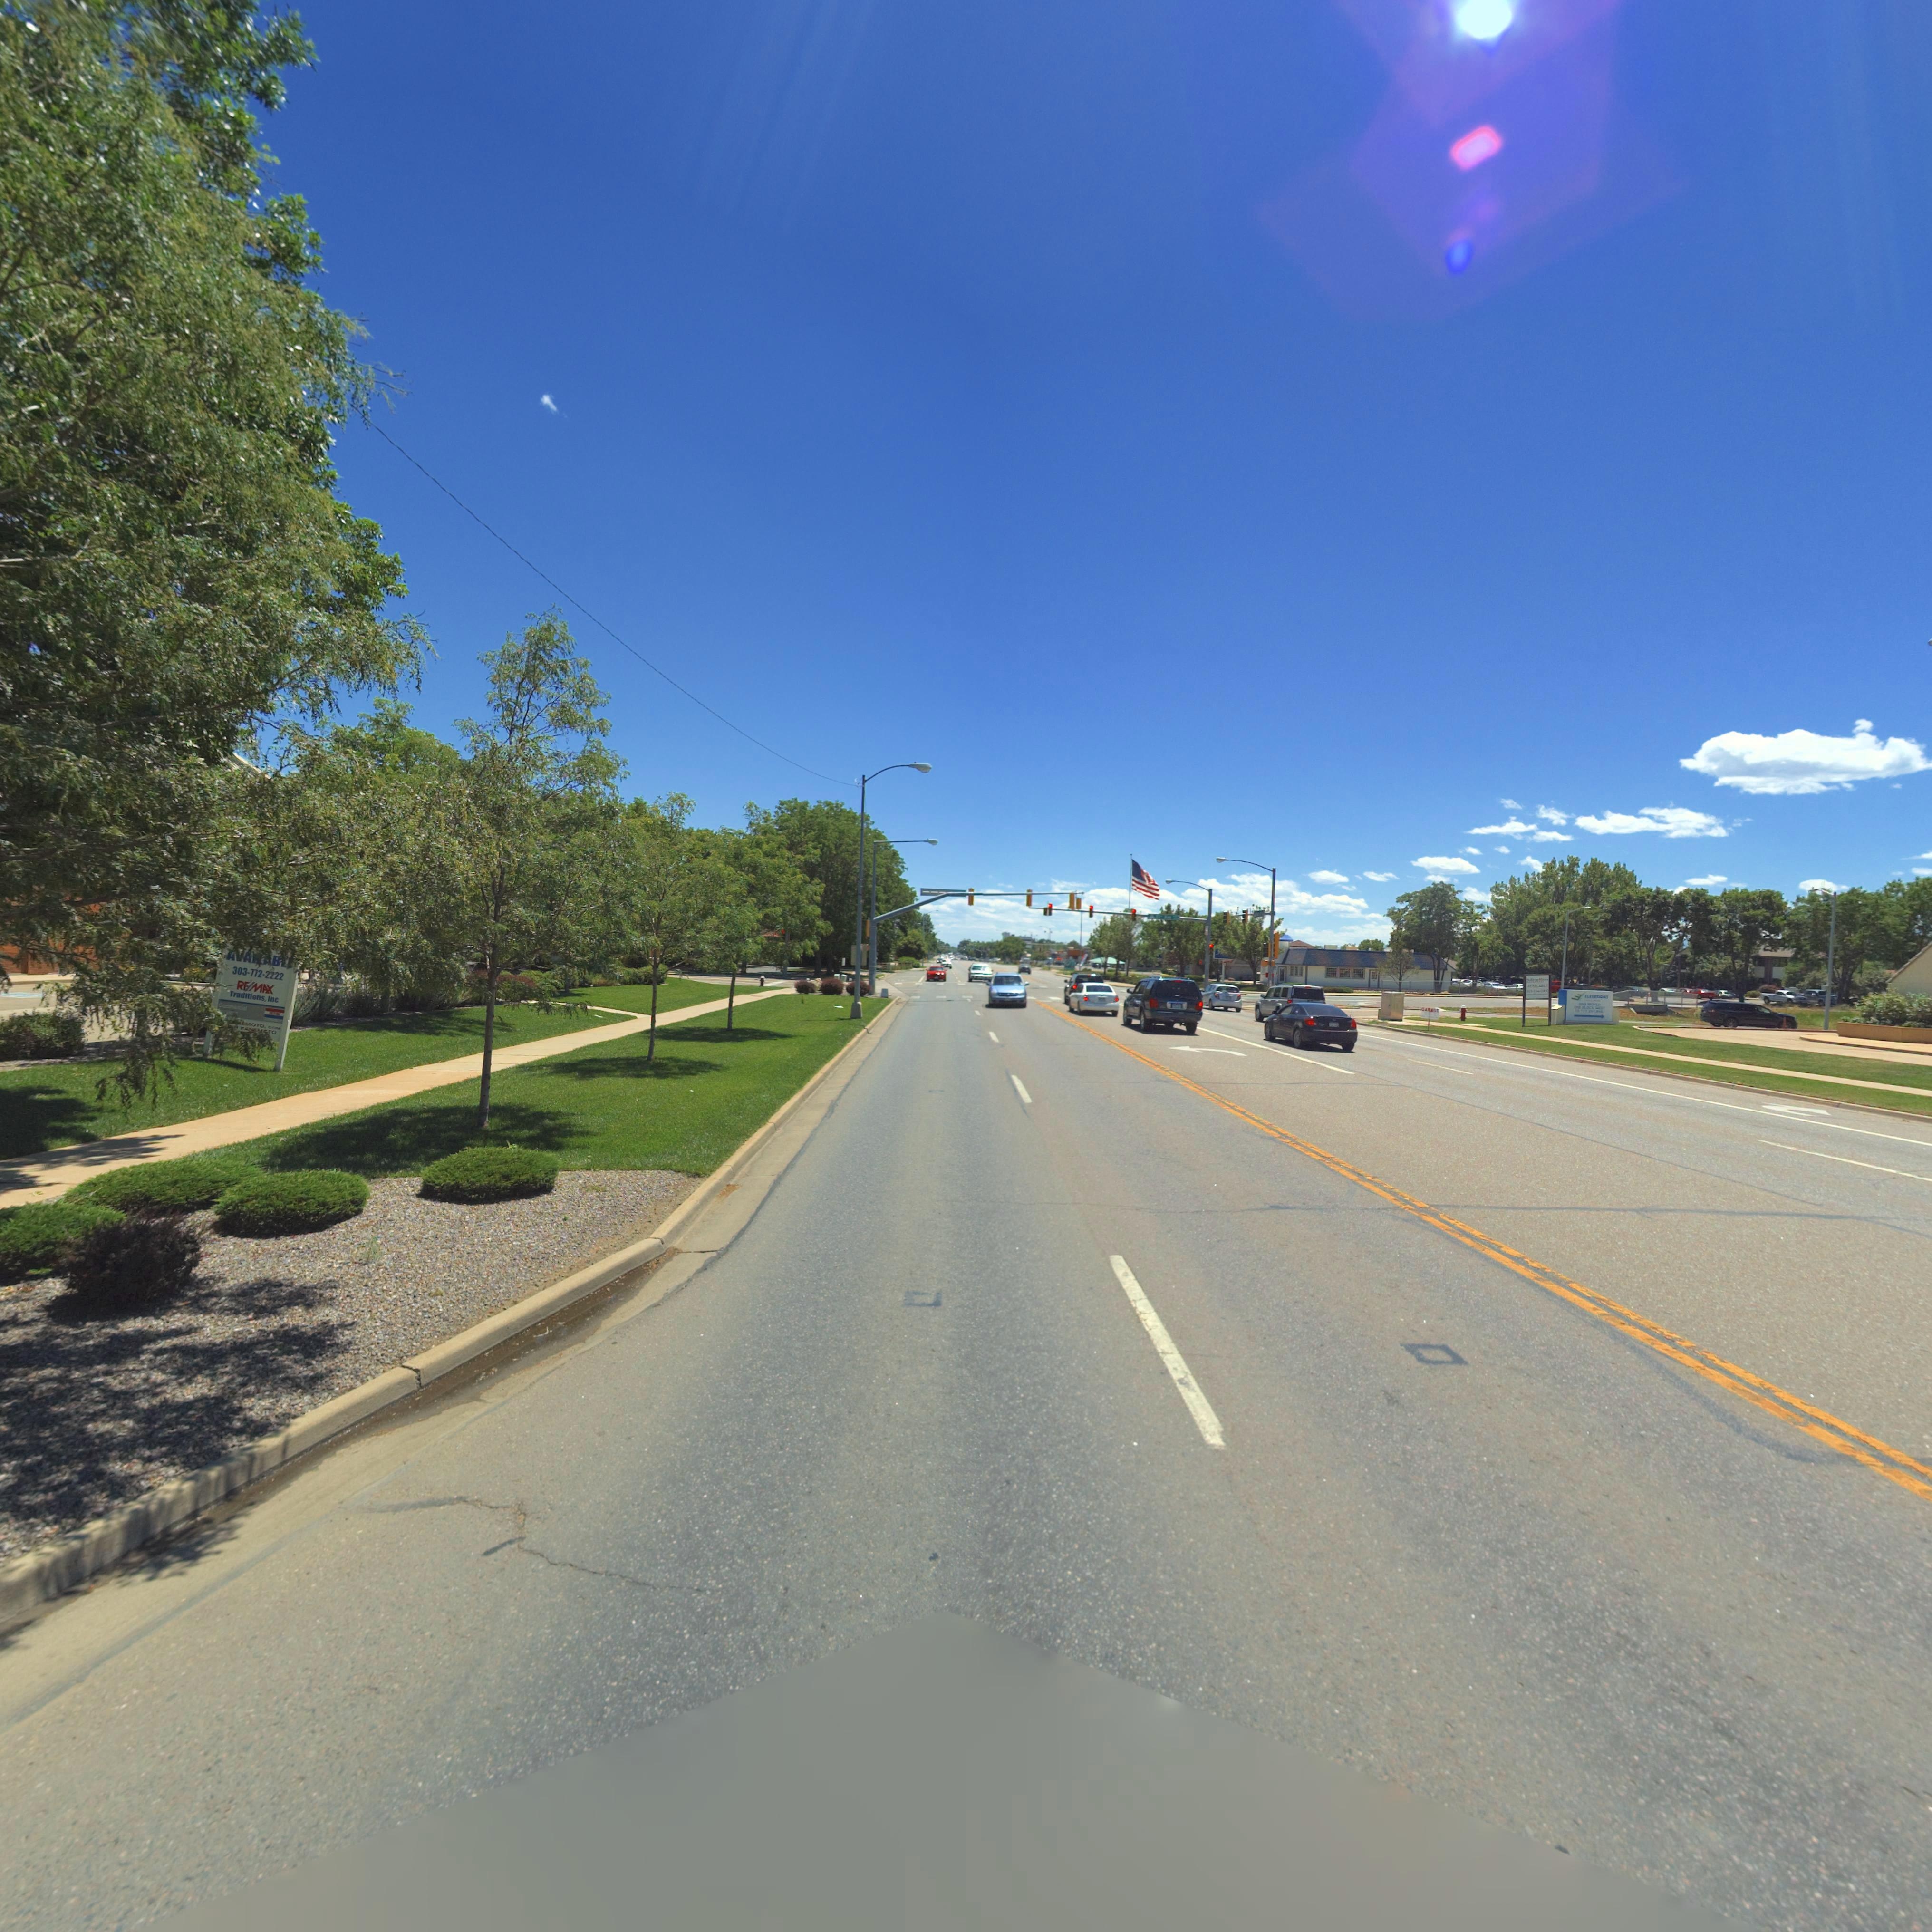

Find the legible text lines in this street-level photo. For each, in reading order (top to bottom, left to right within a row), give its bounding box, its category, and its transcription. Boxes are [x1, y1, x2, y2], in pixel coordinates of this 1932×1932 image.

[1155, 914, 1171, 919] StreetName: 2** Ave